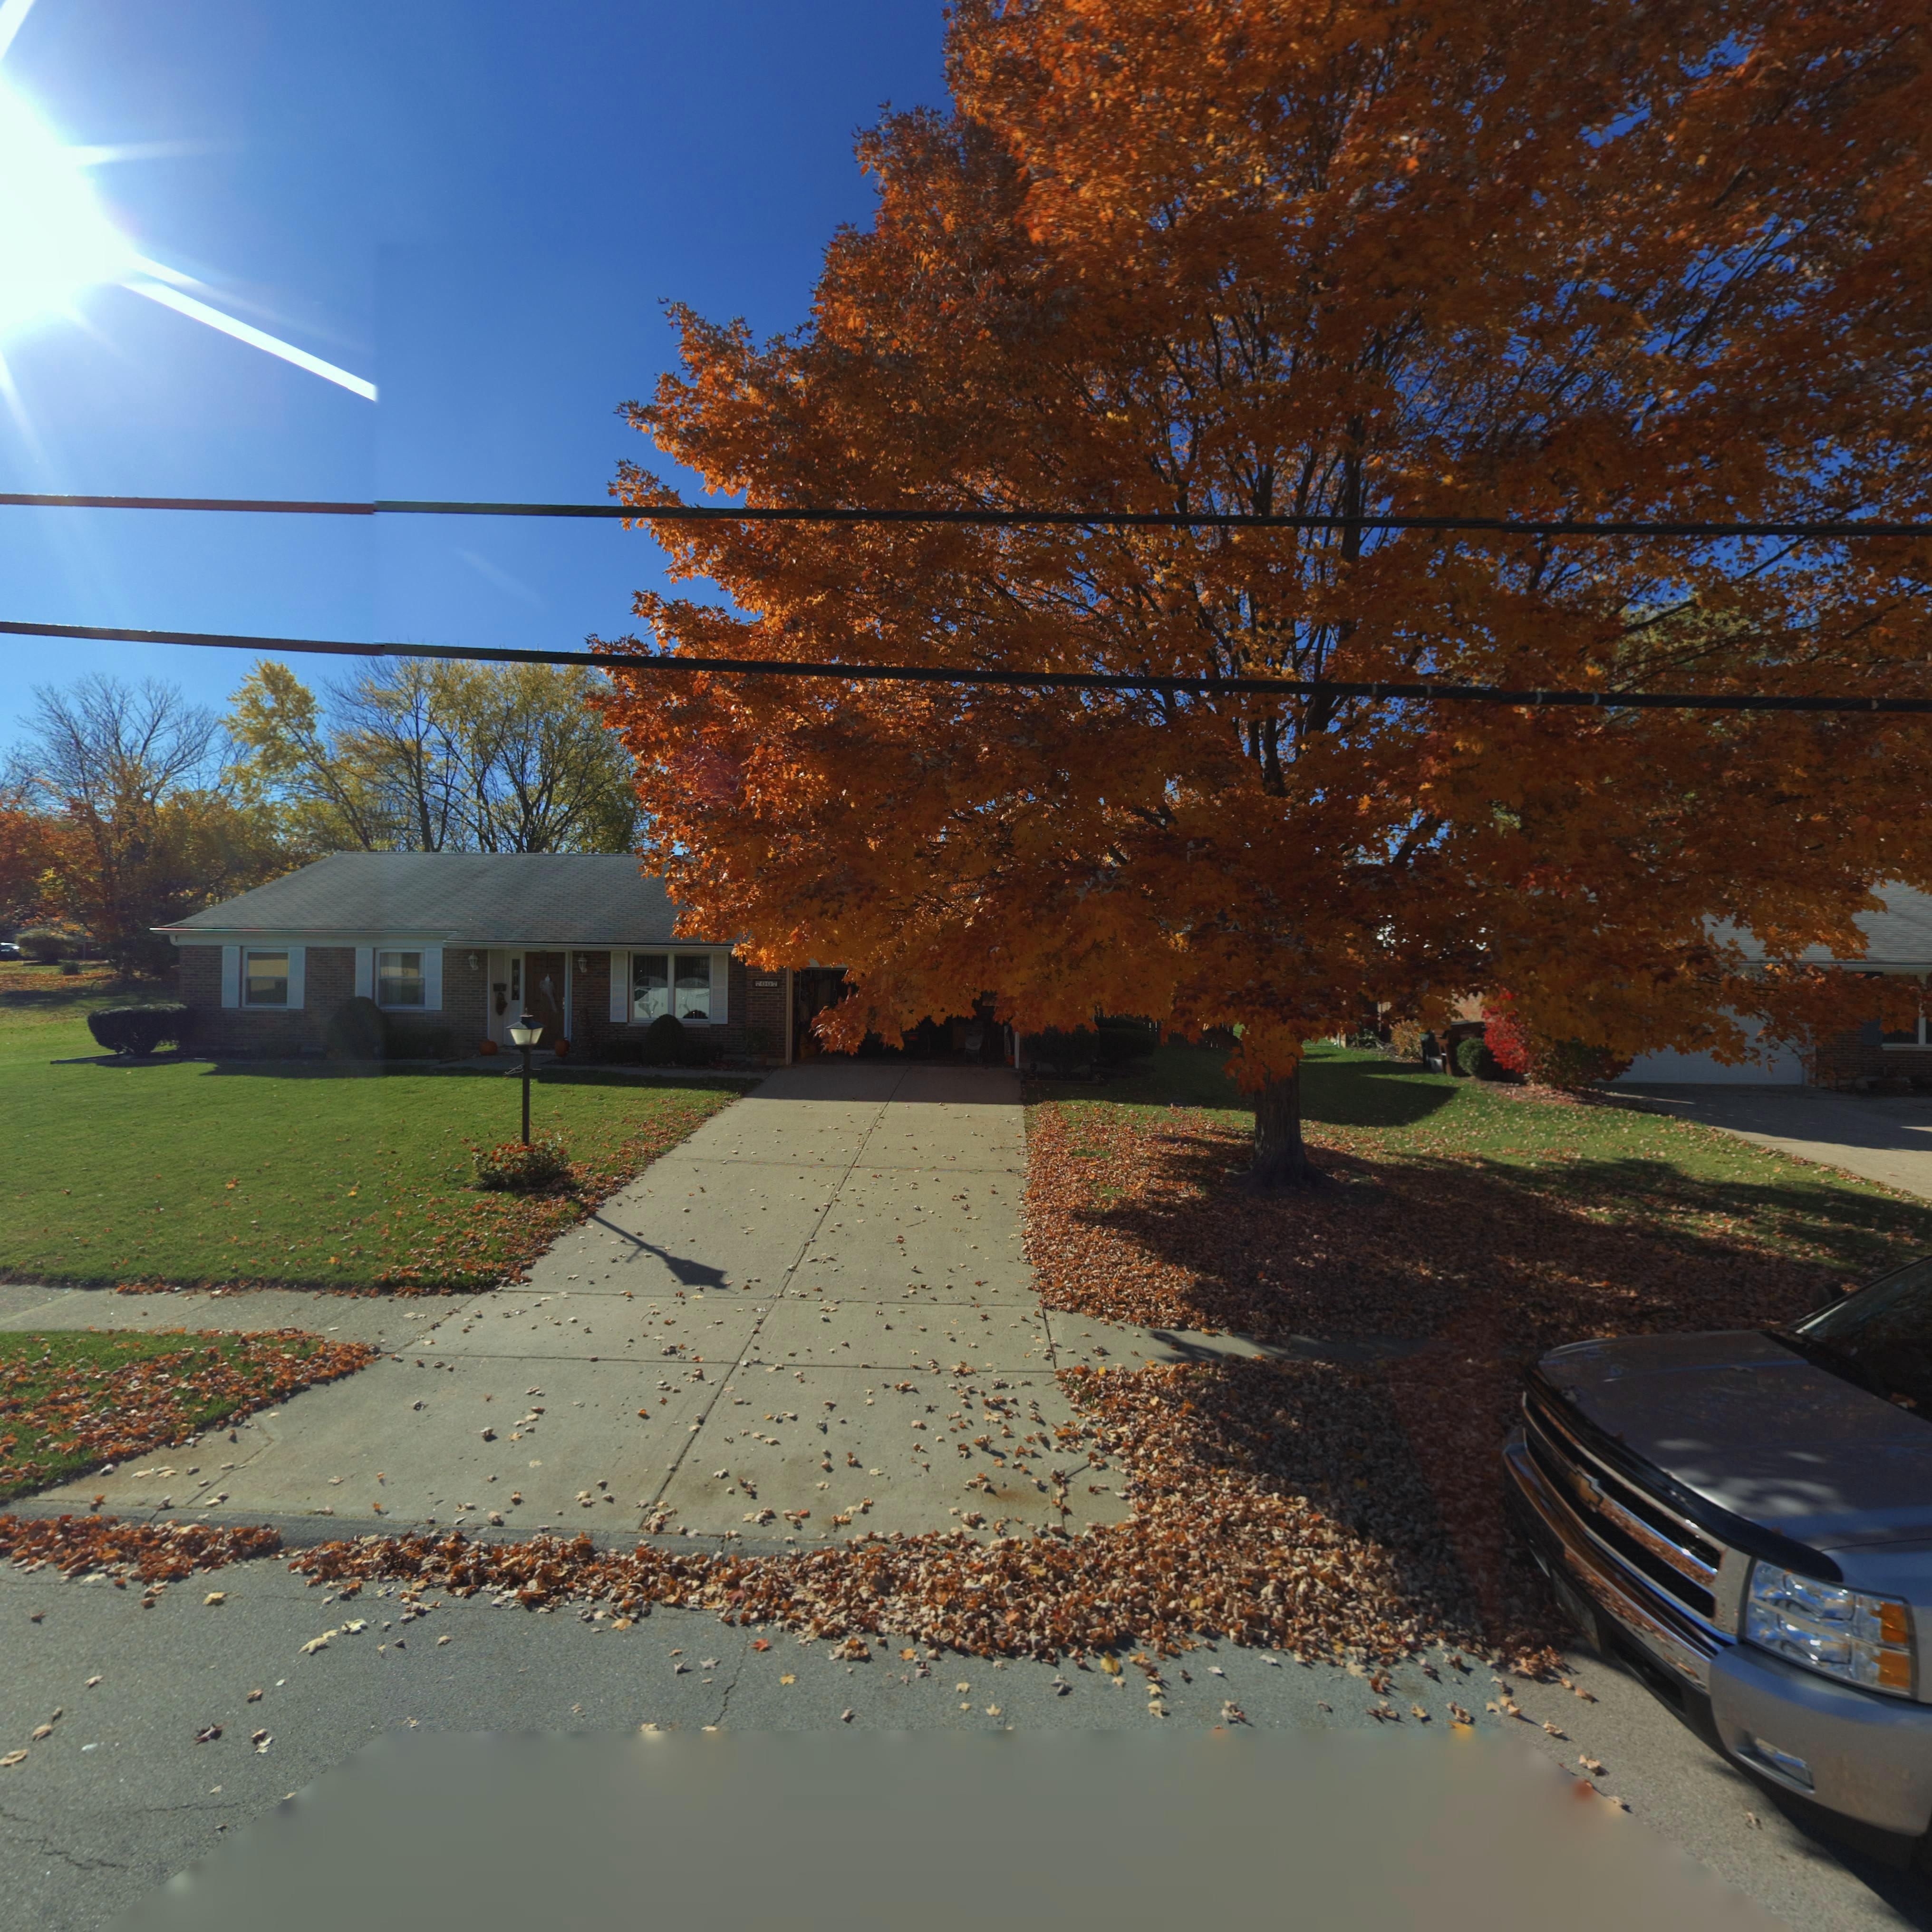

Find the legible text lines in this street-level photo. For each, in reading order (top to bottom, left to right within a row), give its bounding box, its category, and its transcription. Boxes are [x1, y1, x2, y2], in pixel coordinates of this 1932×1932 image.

[755, 981, 777, 986] StreetNumber: 7007